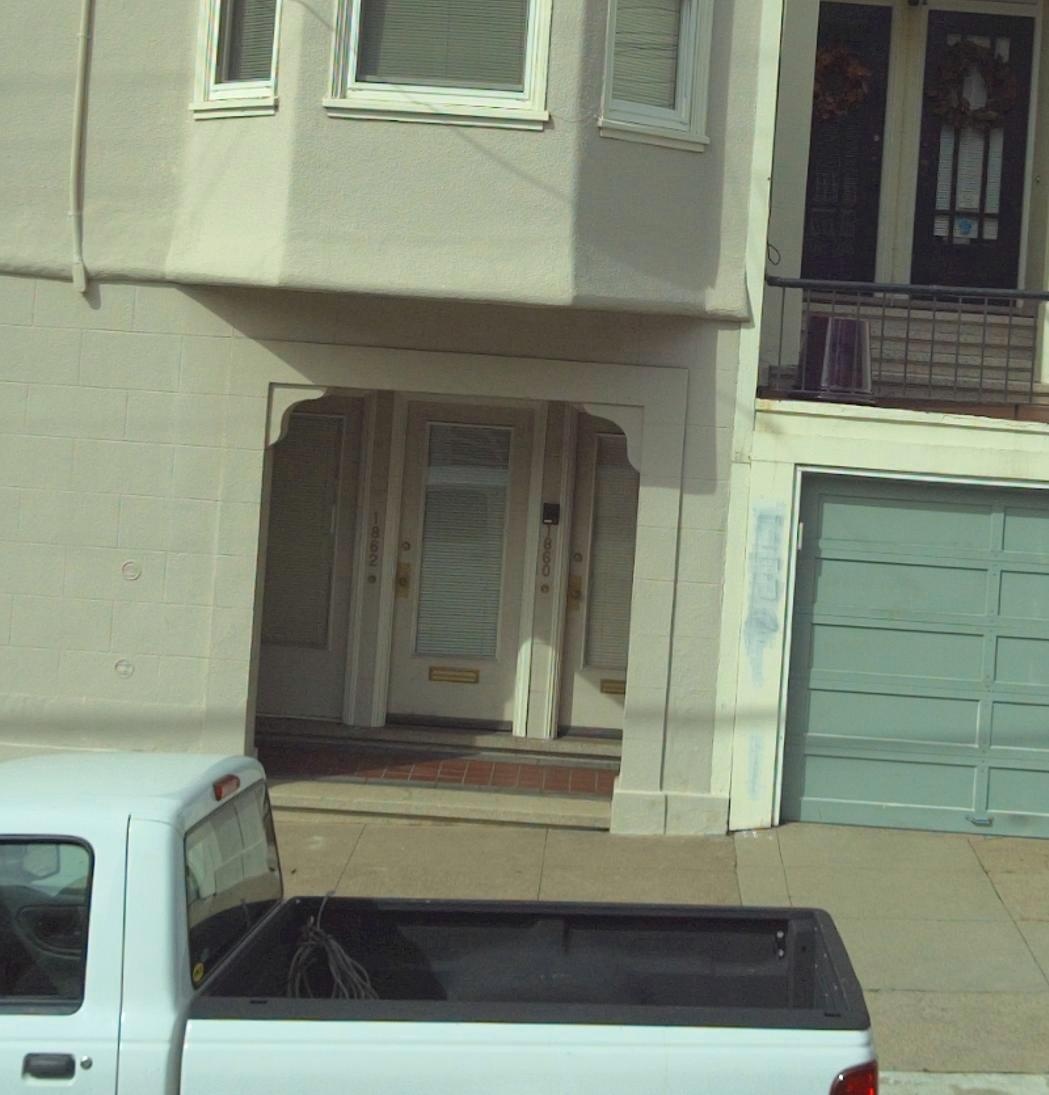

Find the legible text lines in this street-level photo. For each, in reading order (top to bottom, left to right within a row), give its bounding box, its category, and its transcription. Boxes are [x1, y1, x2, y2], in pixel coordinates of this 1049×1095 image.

[366, 509, 383, 569] StreetNumber: 1862
[539, 522, 554, 579] StreetNumber: 1860